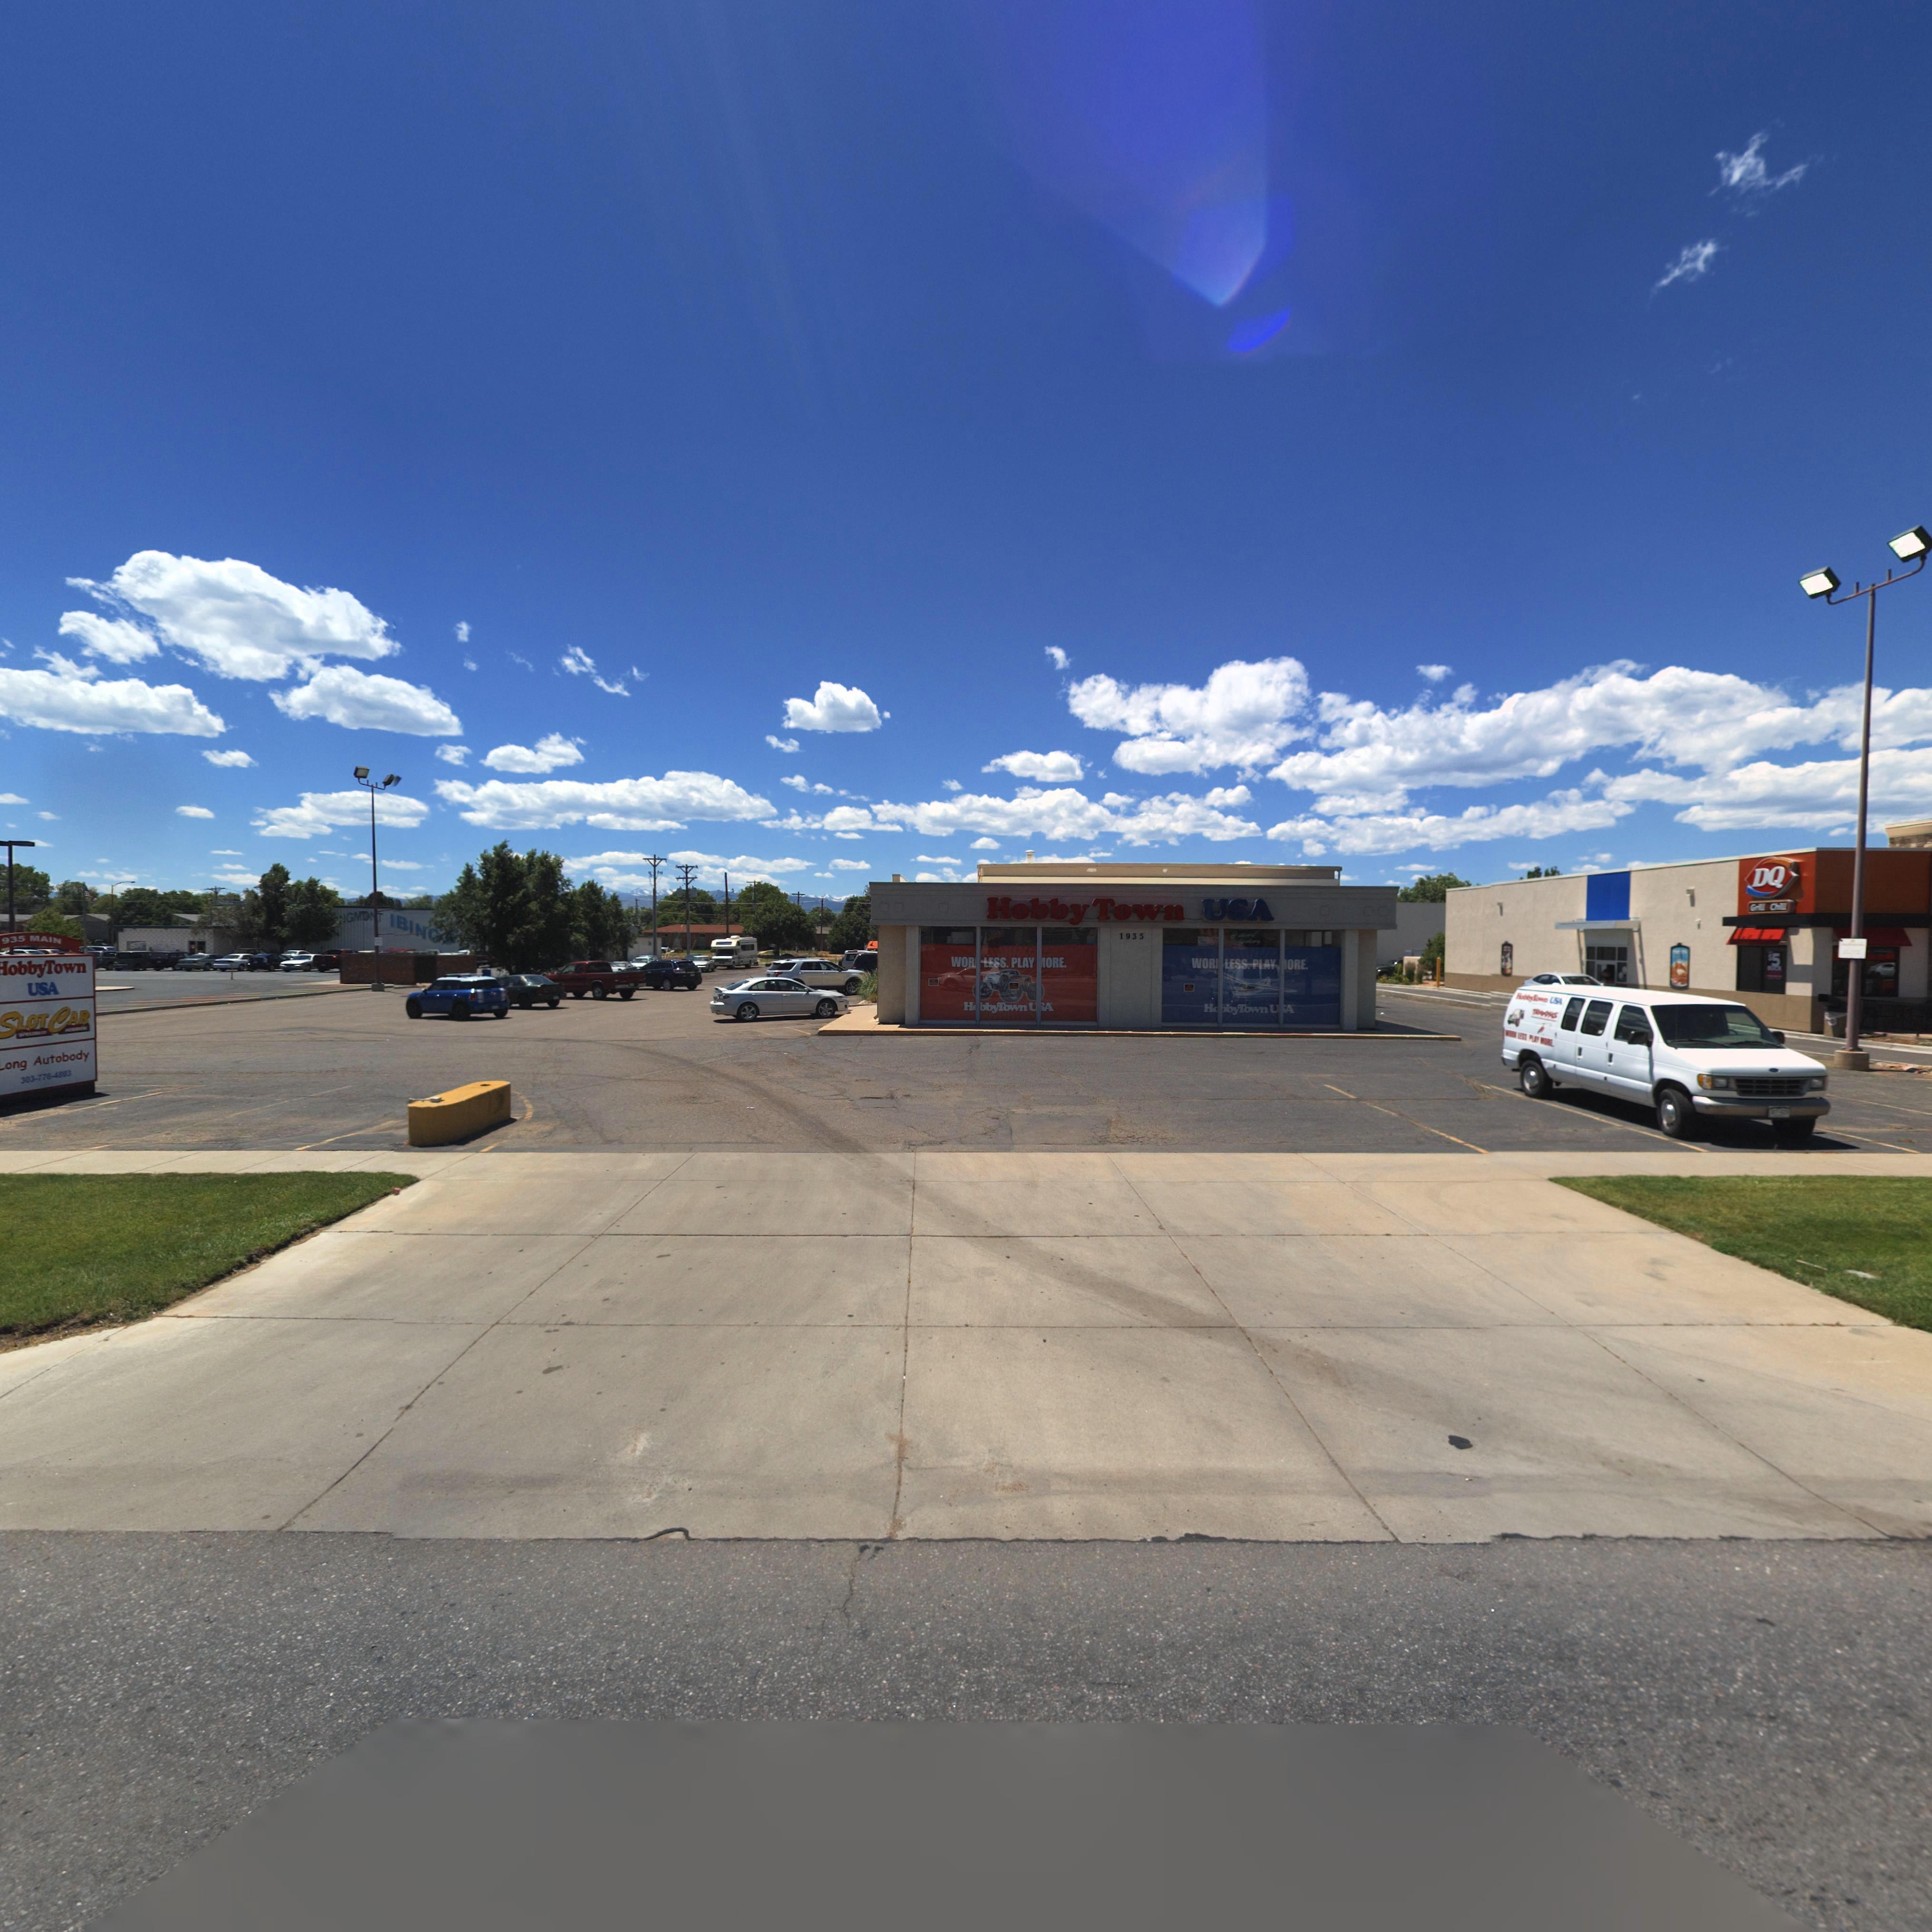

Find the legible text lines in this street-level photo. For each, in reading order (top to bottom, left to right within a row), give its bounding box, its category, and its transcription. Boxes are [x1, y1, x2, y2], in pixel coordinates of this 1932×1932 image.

[1750, 865, 1786, 889] BusinessName: DQ
[333, 910, 384, 927] BusinessName: *NGMO*T
[985, 894, 1276, 927] BusinessName: Hobby Town USA
[1, 935, 26, 945] StreetNumber: 935
[29, 935, 62, 945] BusinessName: MAIN
[389, 912, 457, 947] BusinessName: *BIN**
[1119, 932, 1144, 940] StreetNumber: 1935
[7, 958, 87, 978] BusinessName: obbyTown
[26, 980, 60, 996] BusinessName: USA
[963, 1001, 1054, 1014] BusinessName: H*bbyTown U*A
[1203, 1003, 1295, 1015] BusinessName: H**byTown U*A
[0, 1005, 90, 1040] BusinessName: SLOT CAR
[4, 1049, 90, 1071] BusinessName: ong Autobody